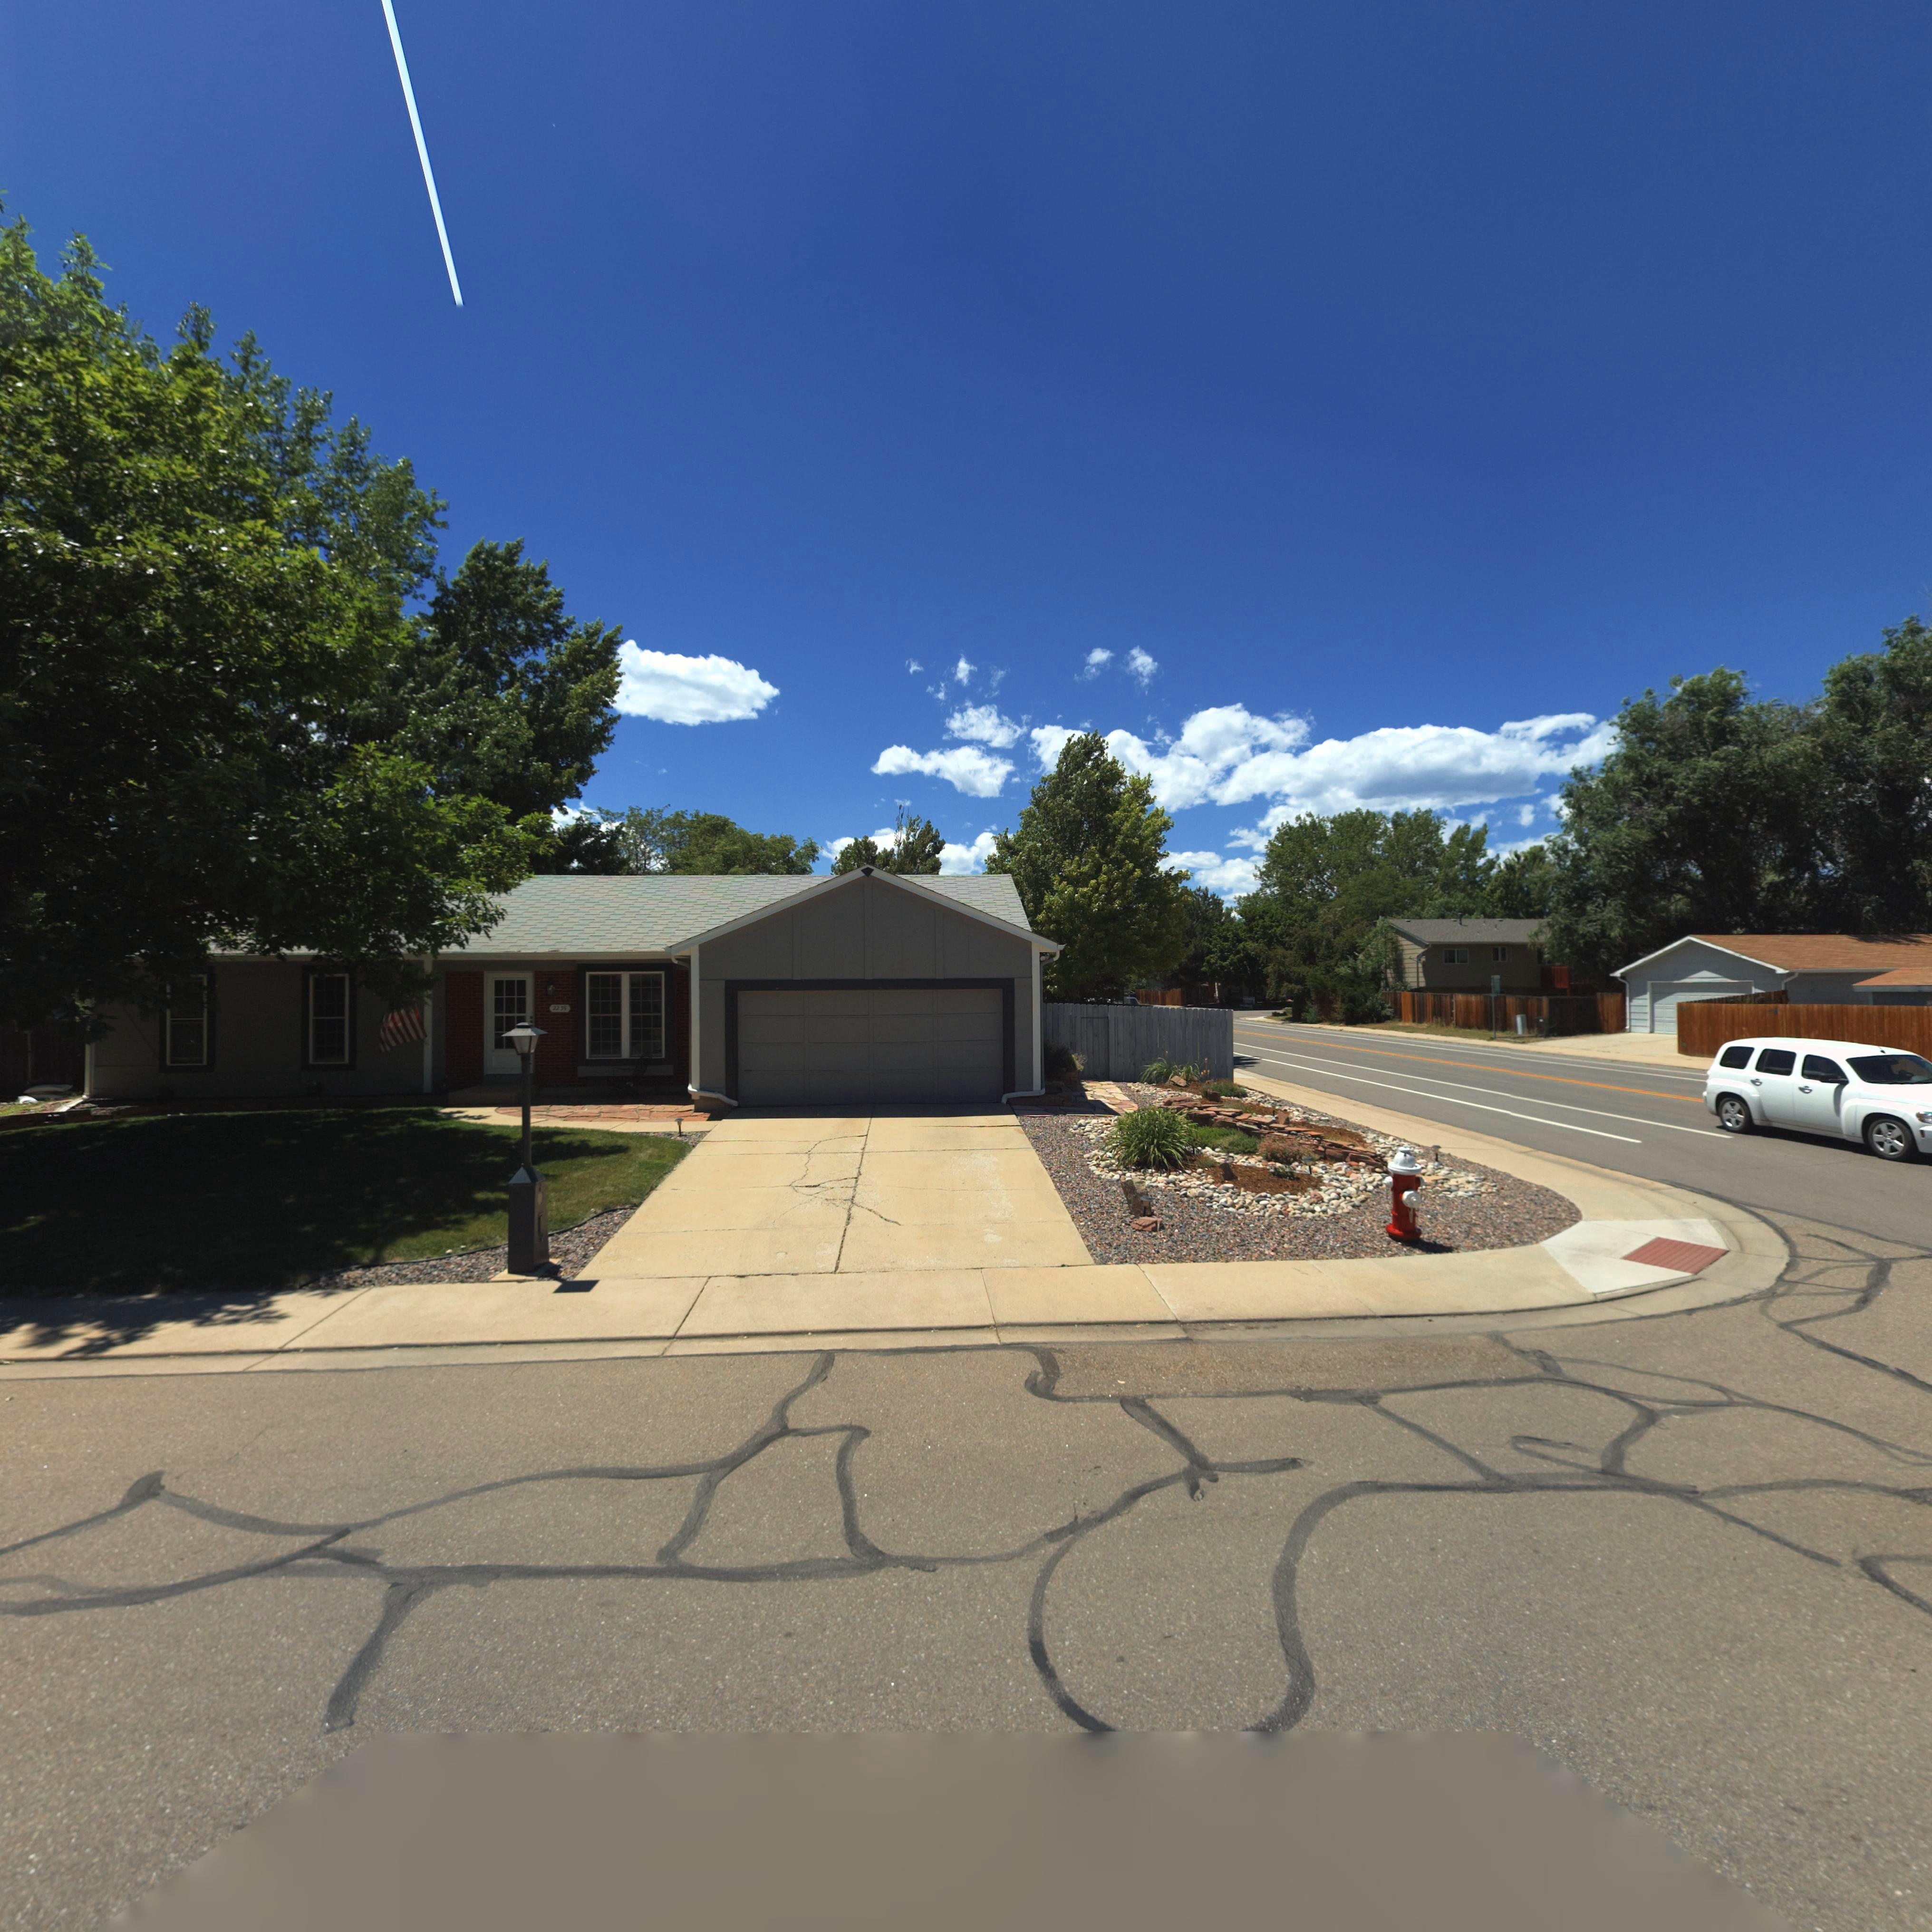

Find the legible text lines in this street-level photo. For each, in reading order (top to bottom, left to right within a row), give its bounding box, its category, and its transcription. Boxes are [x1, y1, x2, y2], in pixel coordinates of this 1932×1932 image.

[552, 1005, 567, 1011] StreetNumber: 2239